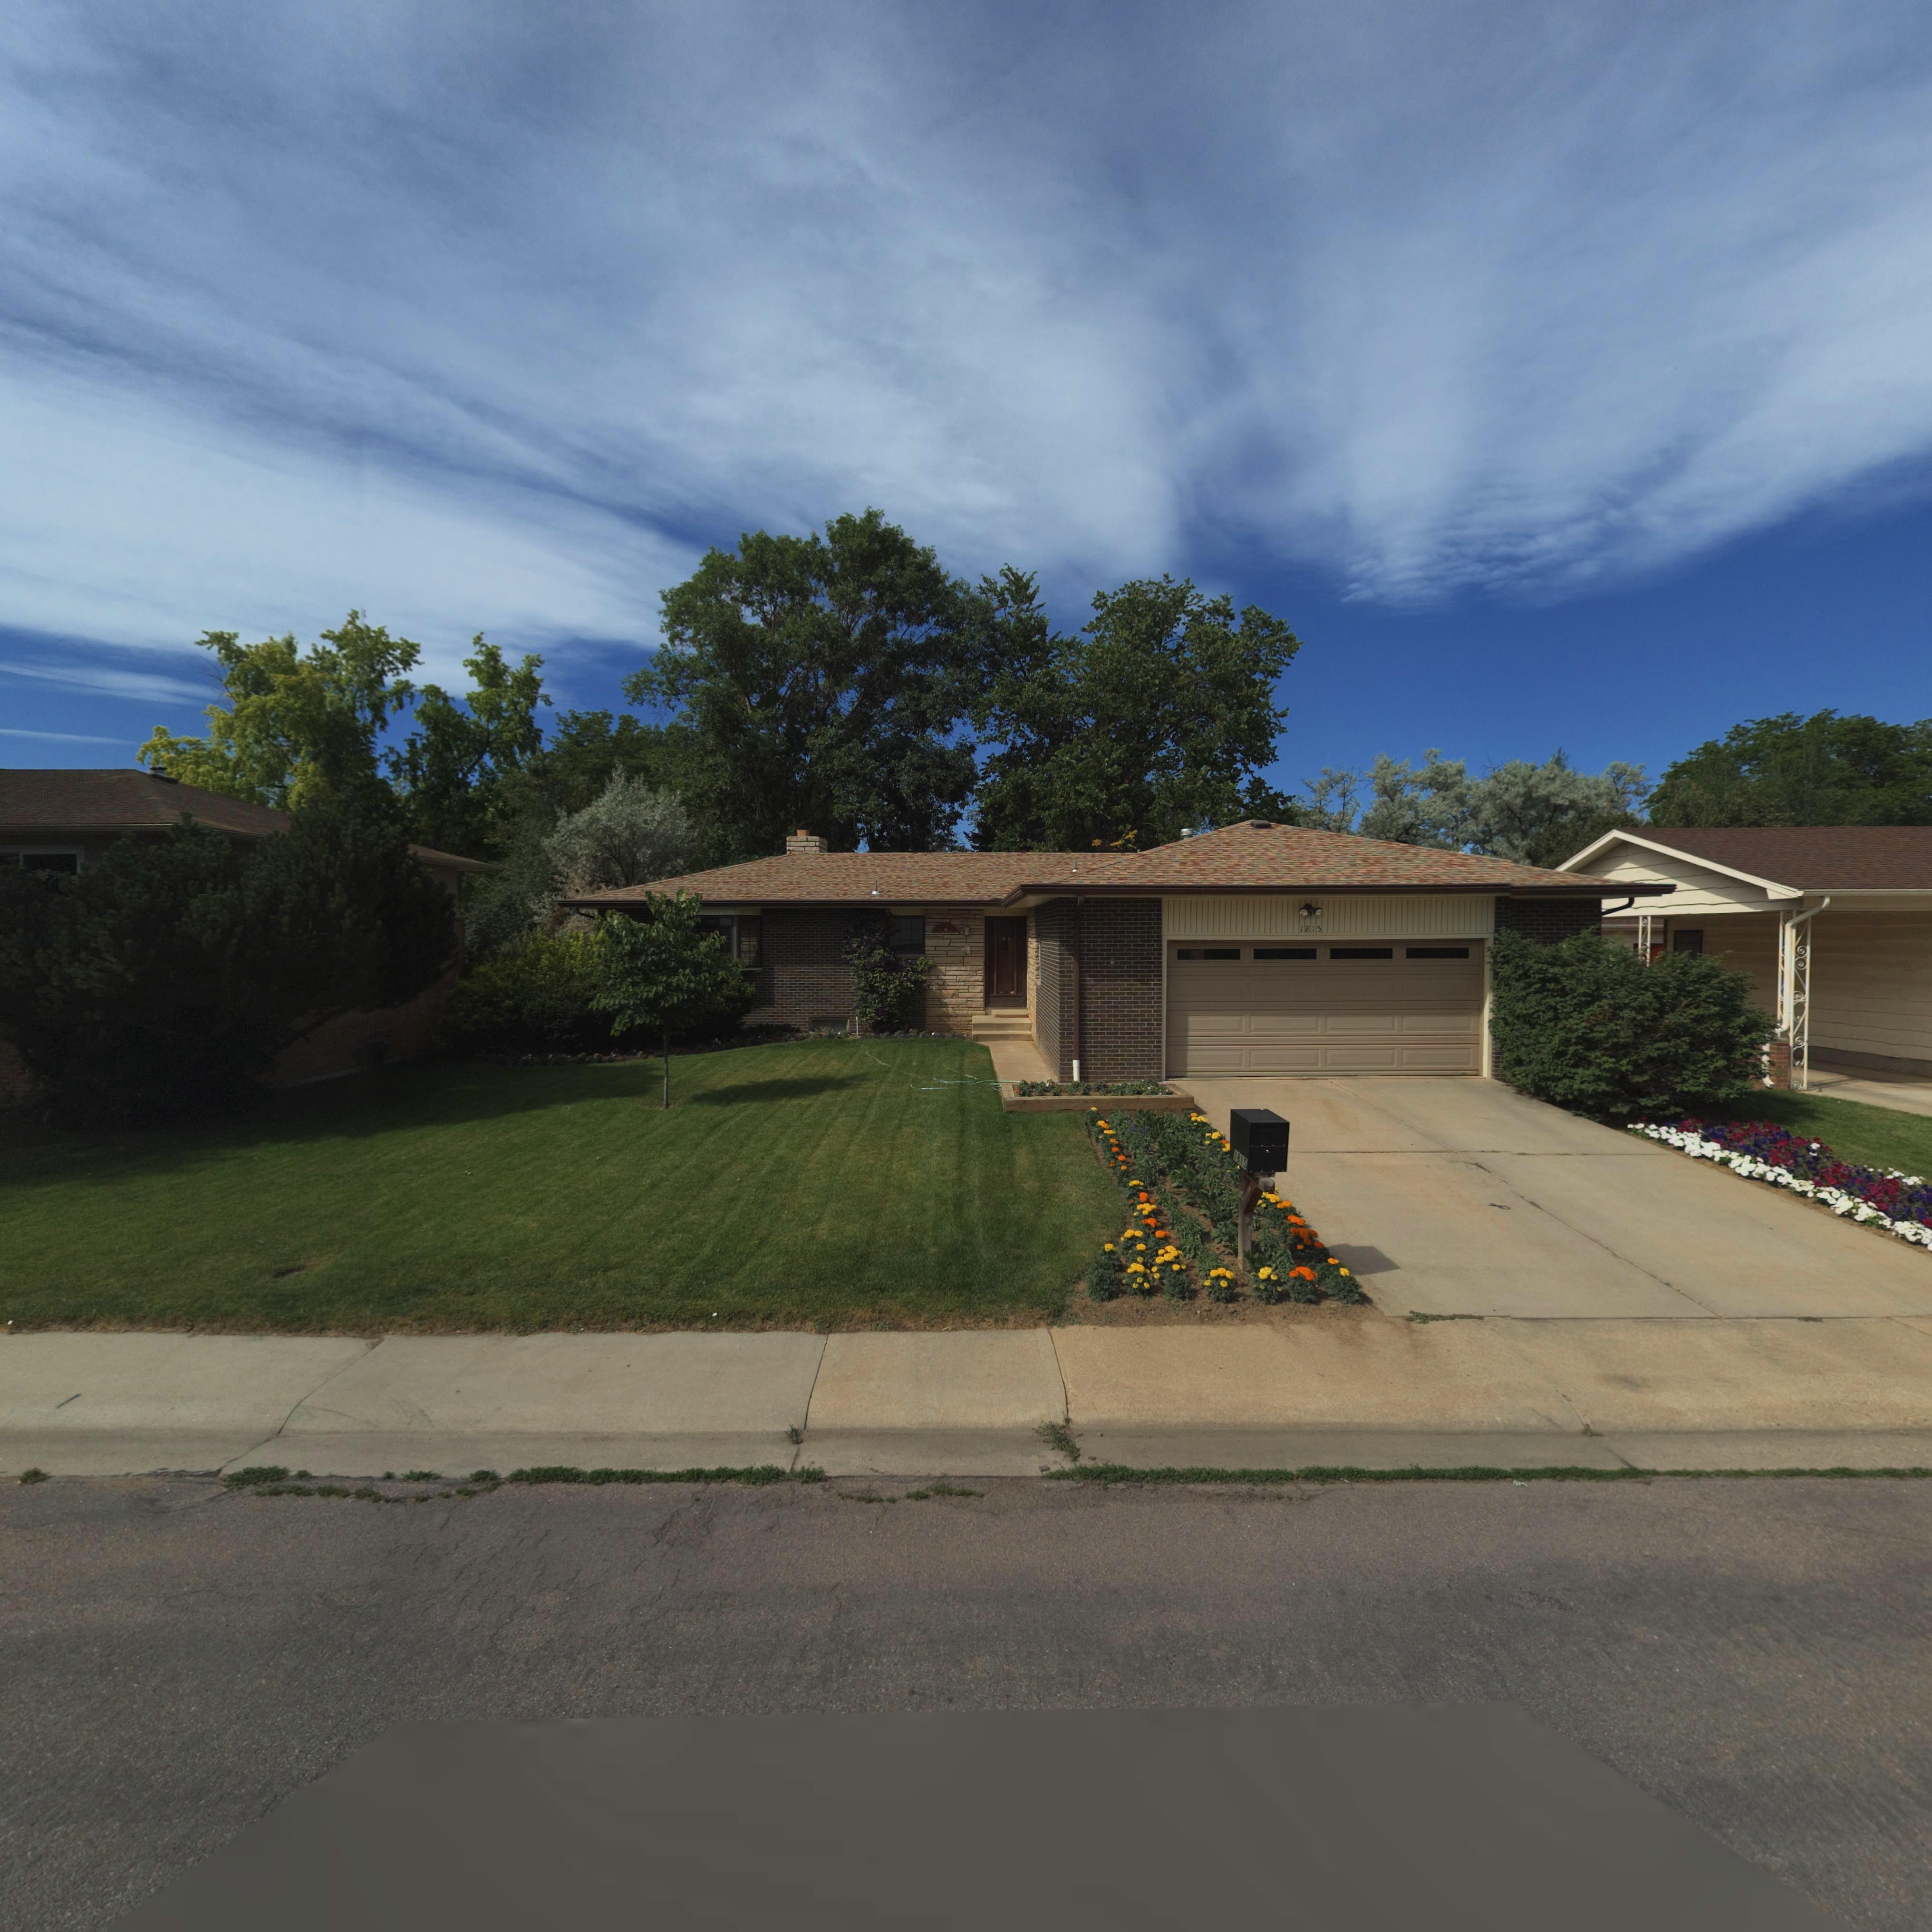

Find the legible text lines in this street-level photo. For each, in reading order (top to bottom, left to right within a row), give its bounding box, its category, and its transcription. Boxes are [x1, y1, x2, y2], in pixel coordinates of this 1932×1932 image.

[1300, 925, 1321, 932] StreetNumber: 1815
[1233, 1150, 1247, 1169] StreetNumber: 1815